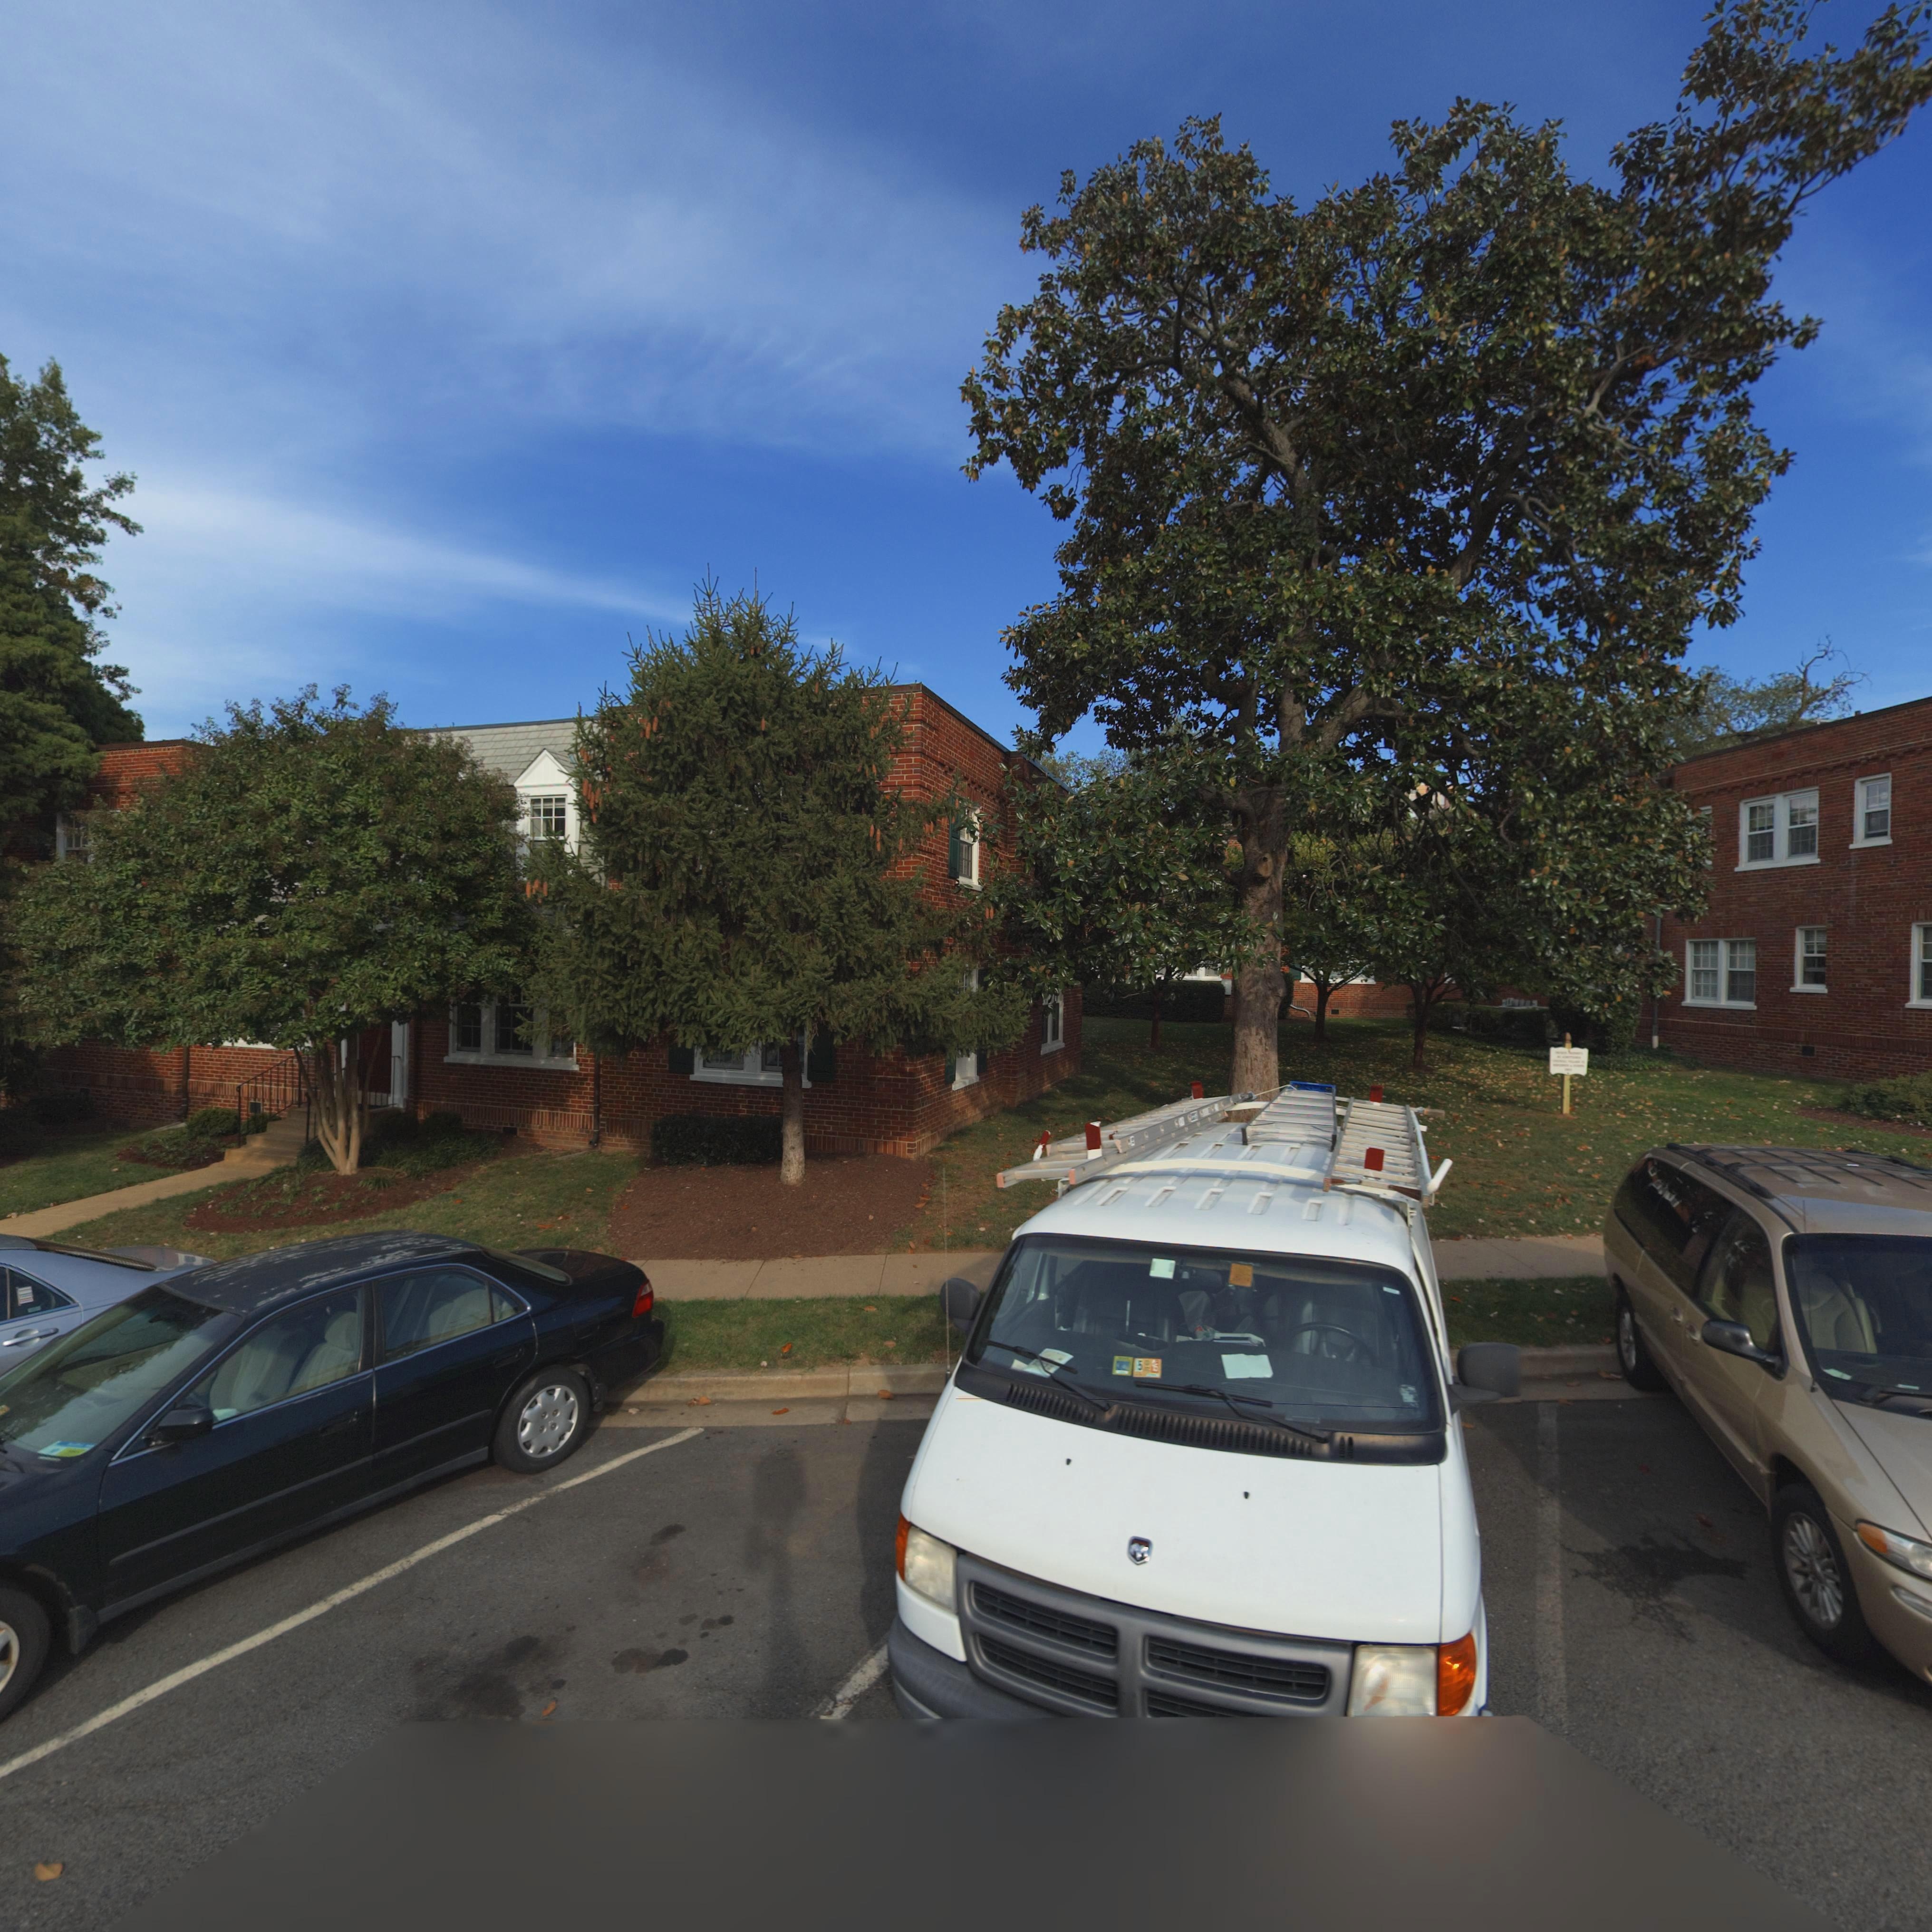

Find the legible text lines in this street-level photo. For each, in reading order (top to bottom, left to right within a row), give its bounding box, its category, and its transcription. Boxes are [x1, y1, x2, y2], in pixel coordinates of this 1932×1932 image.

[1137, 1360, 1143, 1371] None: 5
[1153, 1363, 1159, 1372] None: 5